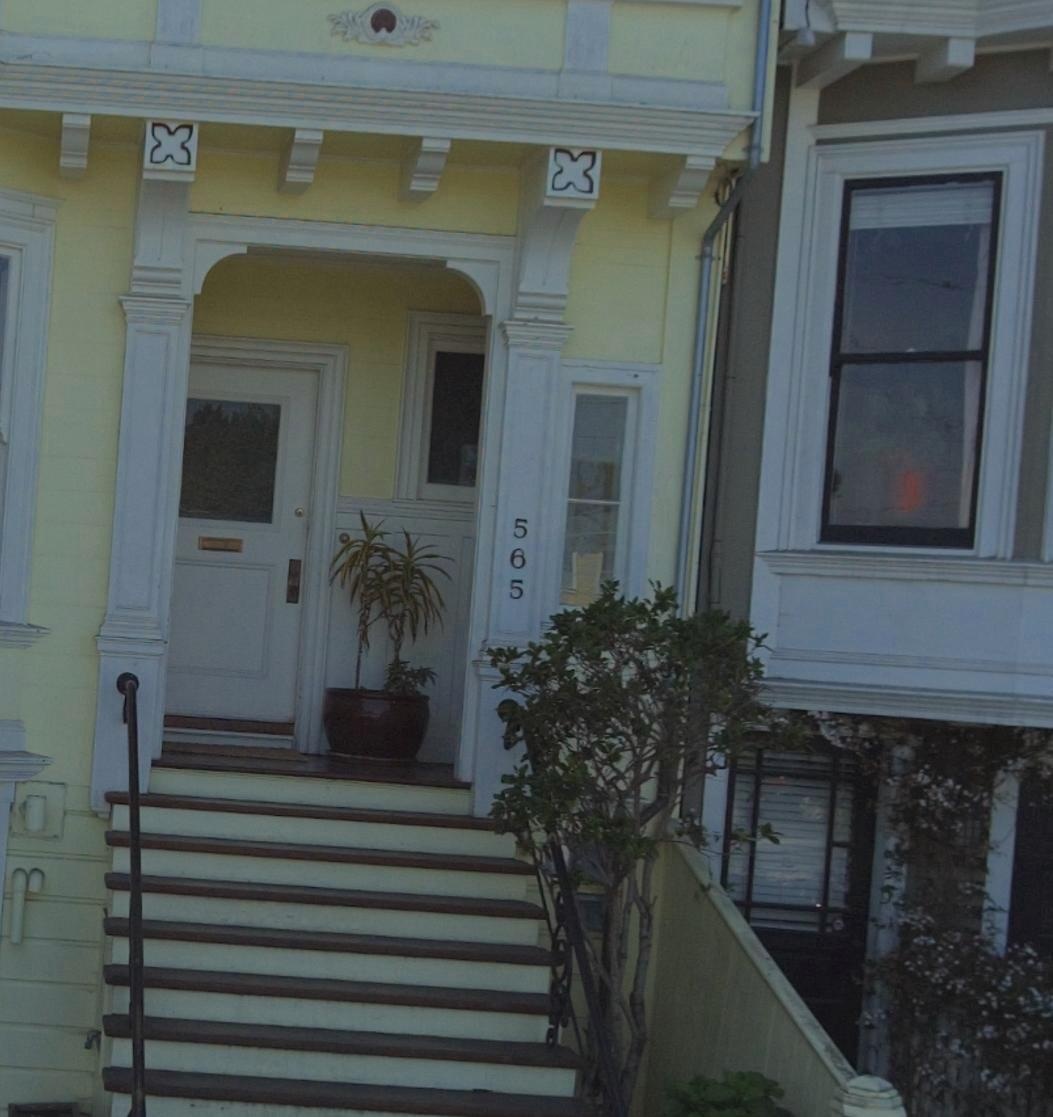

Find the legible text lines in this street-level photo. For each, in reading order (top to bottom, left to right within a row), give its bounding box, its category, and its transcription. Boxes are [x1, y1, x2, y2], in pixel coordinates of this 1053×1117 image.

[506, 515, 531, 603] StreetNumber: 565